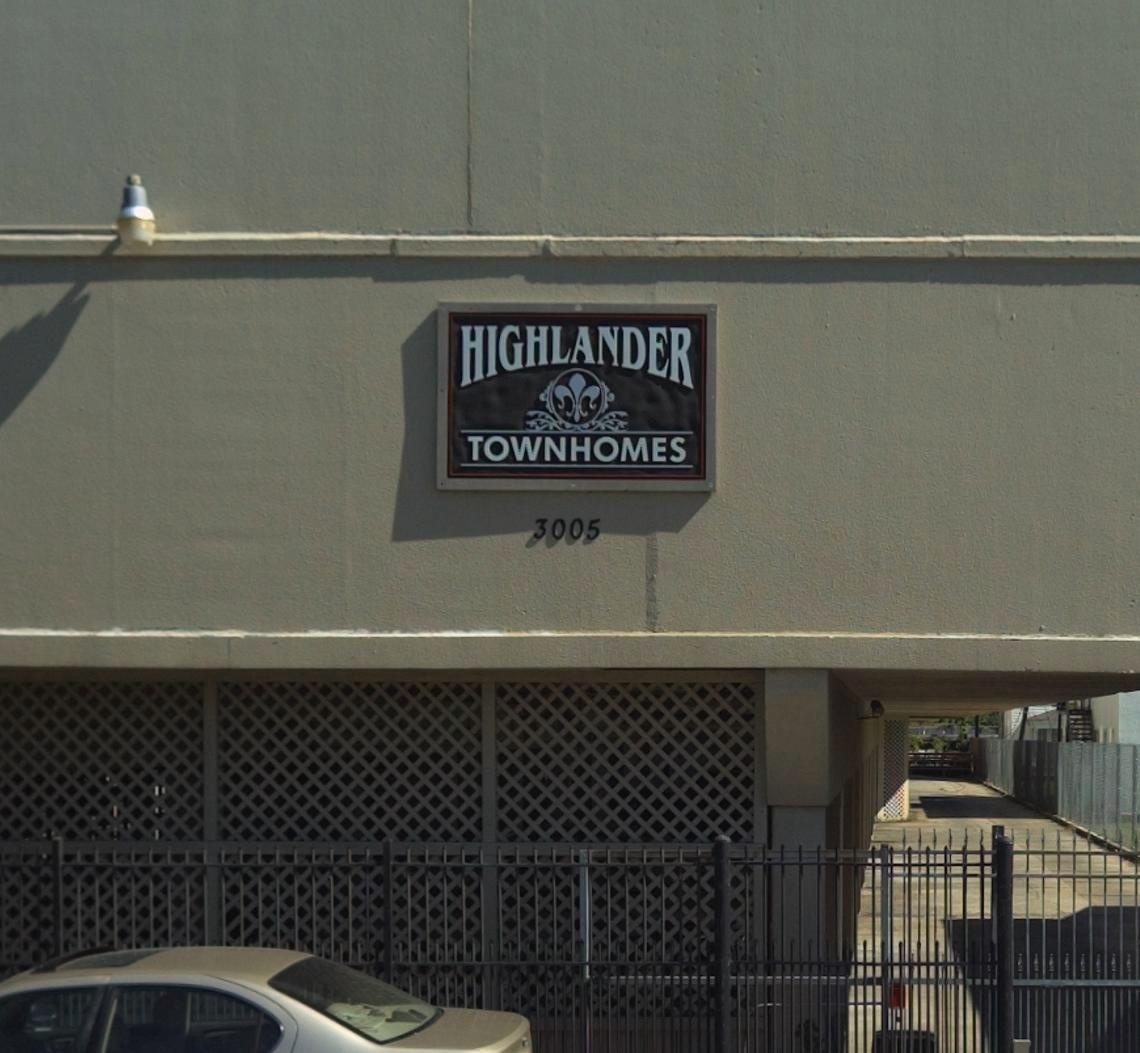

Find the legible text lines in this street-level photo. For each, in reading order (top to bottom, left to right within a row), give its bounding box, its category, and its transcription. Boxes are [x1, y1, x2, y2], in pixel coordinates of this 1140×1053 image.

[458, 324, 695, 390] BusinessName: HIGHLANDER
[466, 434, 688, 464] BusinessName: TOWNHOMES
[533, 516, 601, 542] StreetNumber: 3005